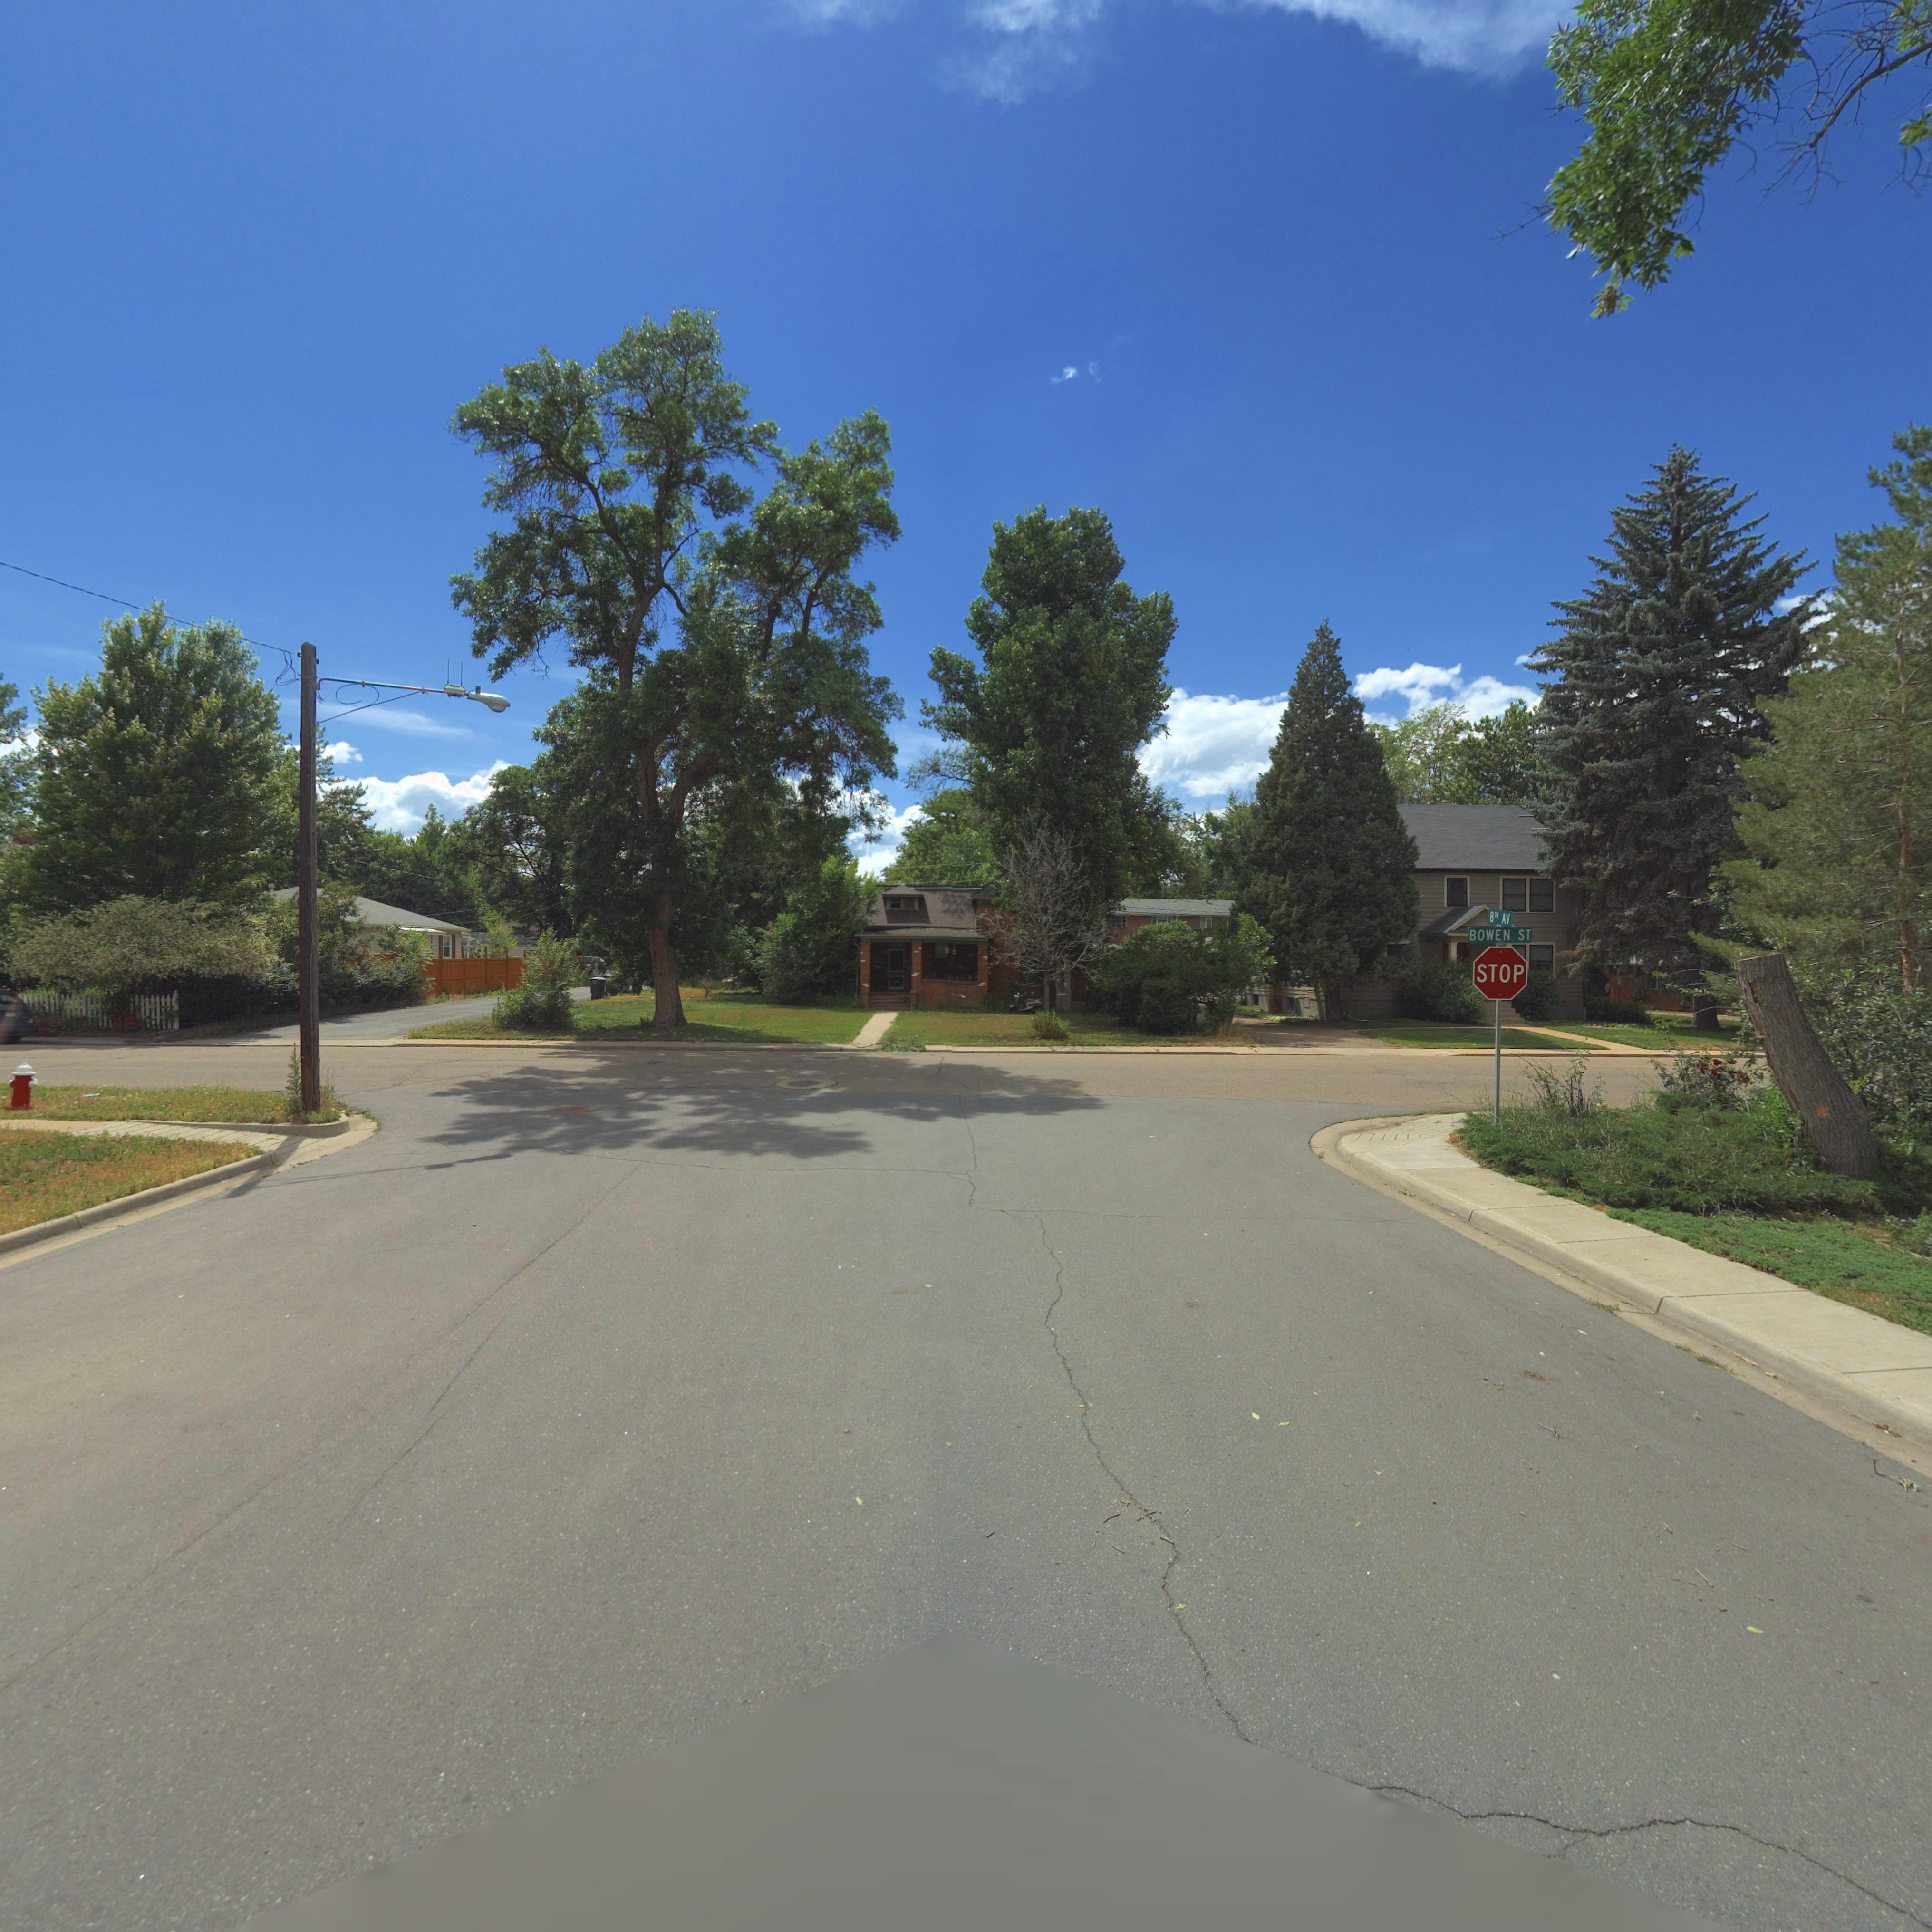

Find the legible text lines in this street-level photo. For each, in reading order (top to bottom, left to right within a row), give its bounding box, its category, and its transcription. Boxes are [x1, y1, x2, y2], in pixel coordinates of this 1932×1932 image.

[1489, 910, 1511, 925] StreetName: 8TH AV
[1469, 929, 1531, 941] StreetName: BOWEN ST